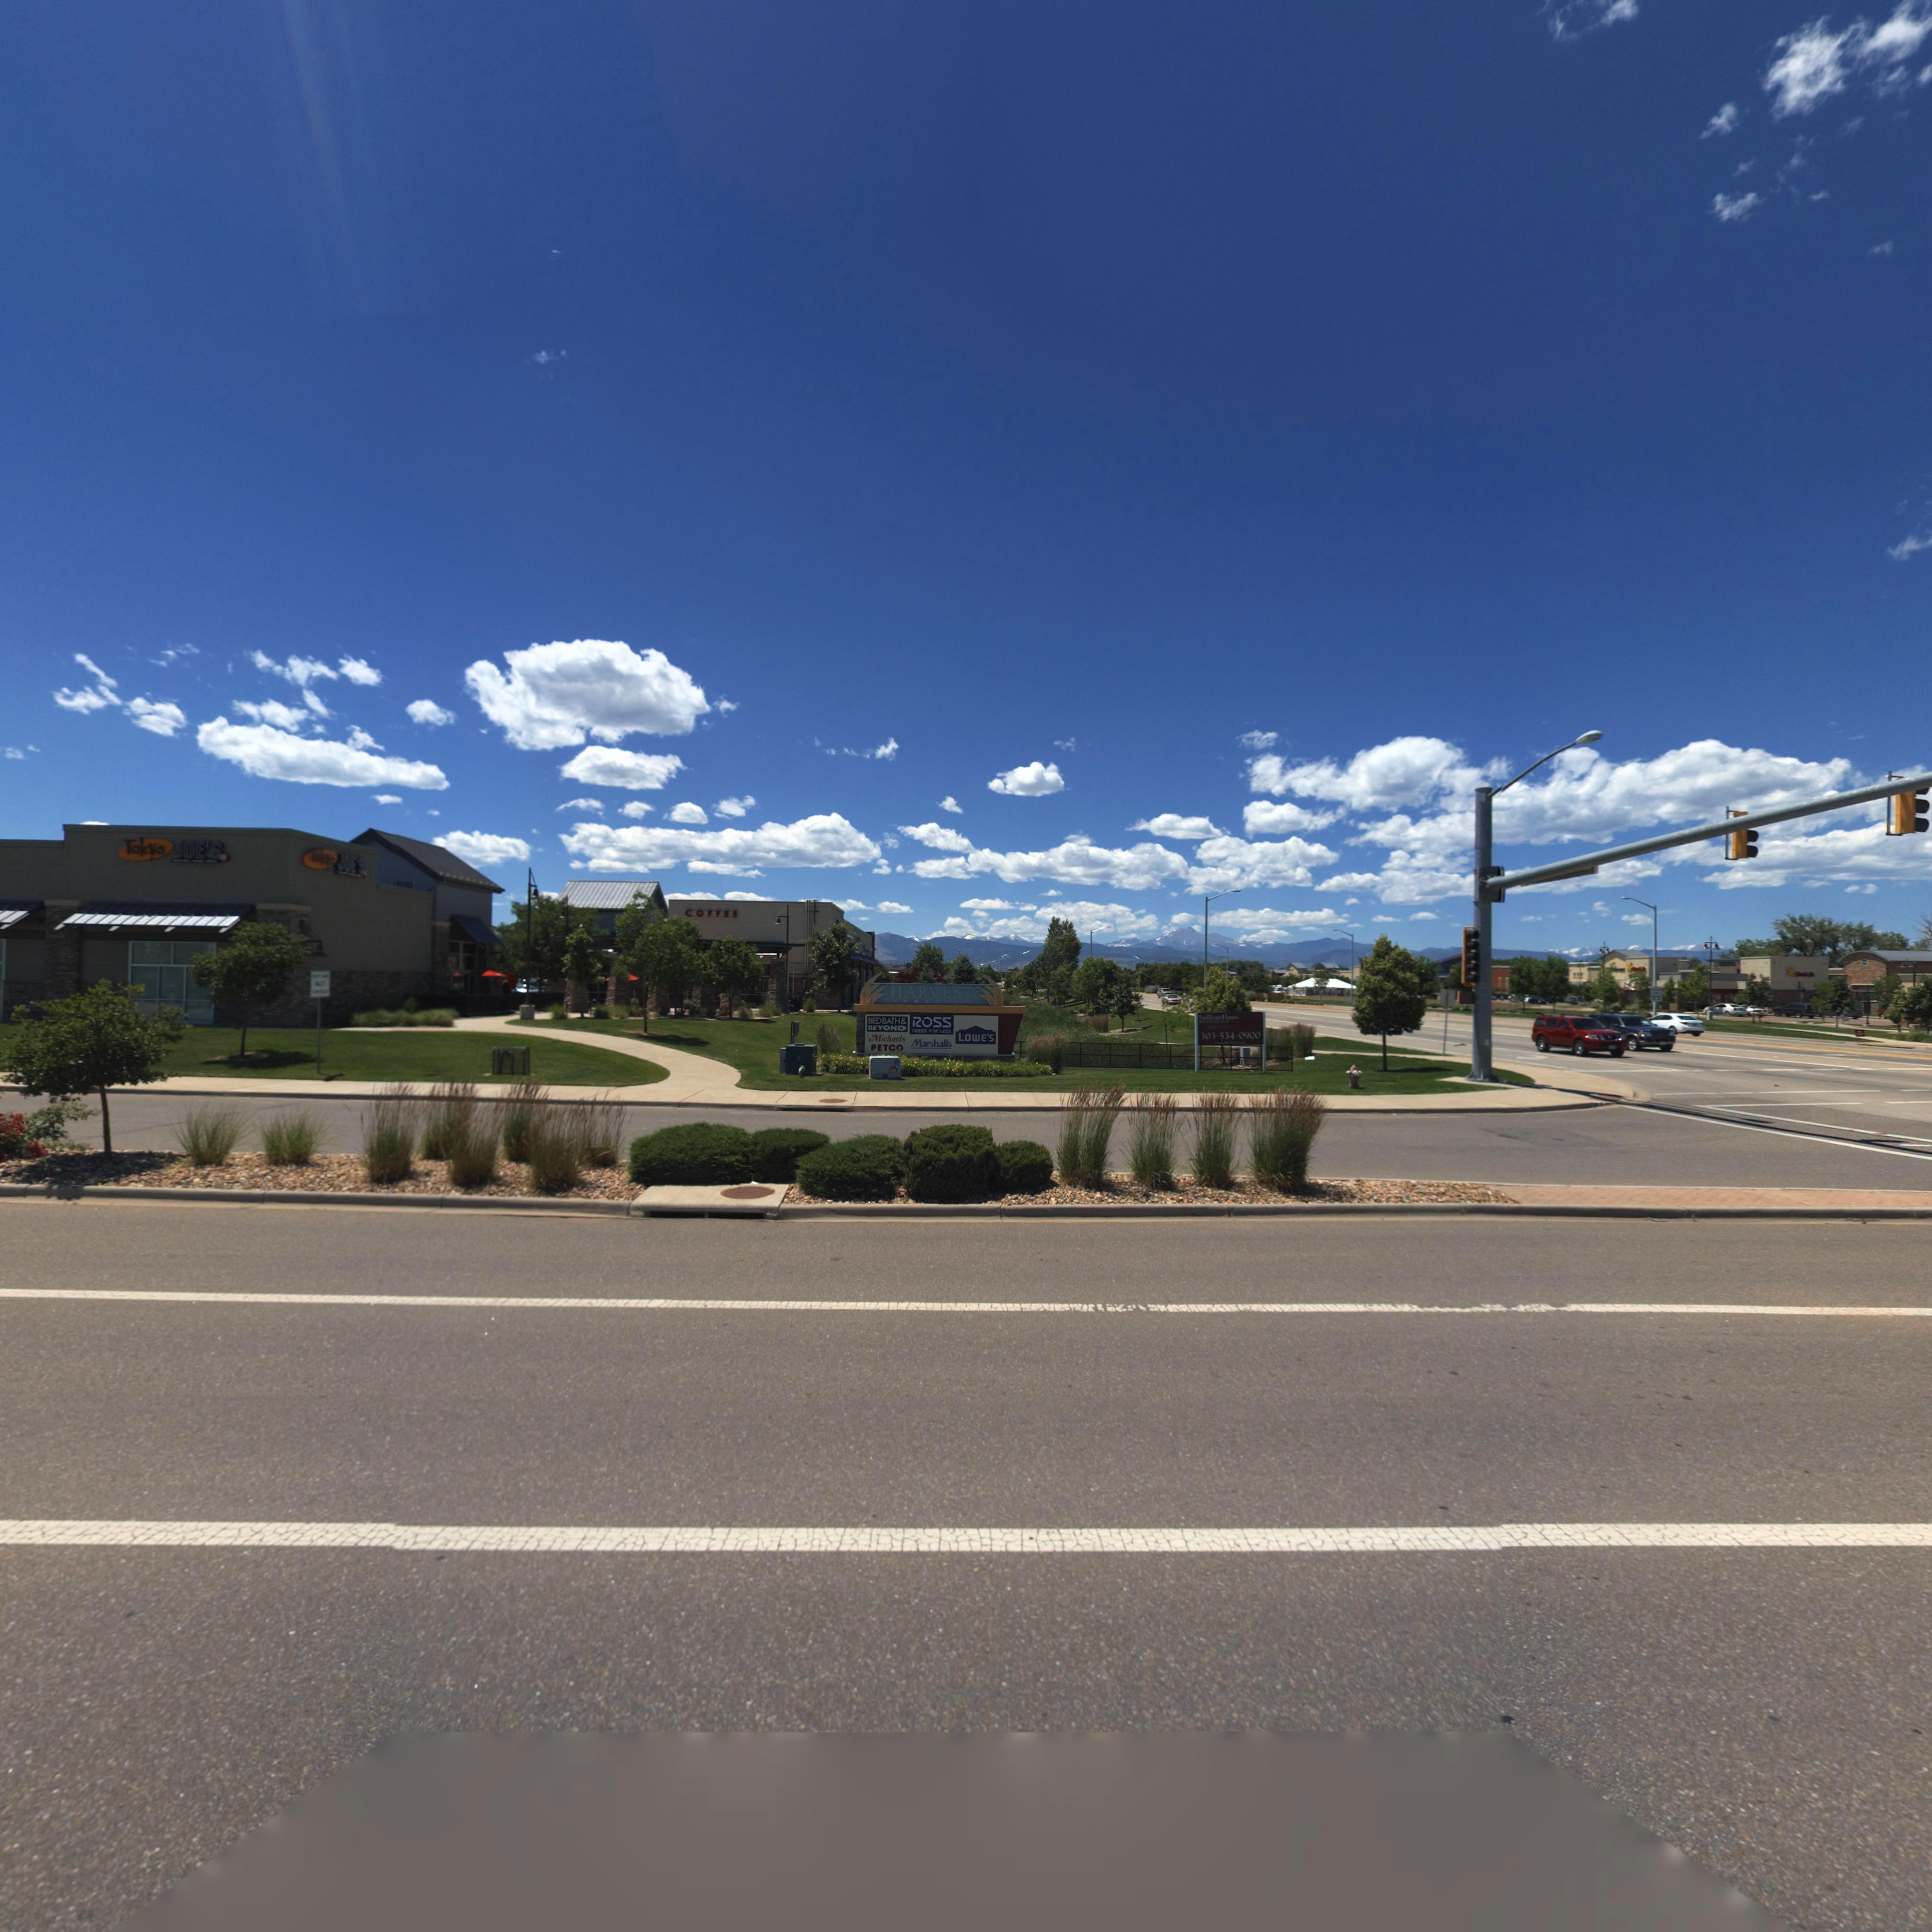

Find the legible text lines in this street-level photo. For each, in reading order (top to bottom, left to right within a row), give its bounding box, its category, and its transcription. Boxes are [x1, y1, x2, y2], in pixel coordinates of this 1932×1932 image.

[122, 836, 222, 861] BusinessName: Tokyo JOE'S
[309, 847, 366, 875] BusinessName: Tokyo JOE'S
[1795, 971, 1815, 977] BusinessName: Carl'sJr.
[868, 1017, 906, 1024] BusinessName: BEDBATH&
[912, 1016, 951, 1028] BusinessName: ROSS
[868, 1024, 907, 1031] BusinessName: BEYOND
[869, 1034, 906, 1042] BusinessName: Michaels
[910, 1038, 952, 1047] BusinessName: Marshalls
[958, 1032, 994, 1042] BusinessName: LOWE'S
[870, 1044, 903, 1052] BusinessName: PETC*